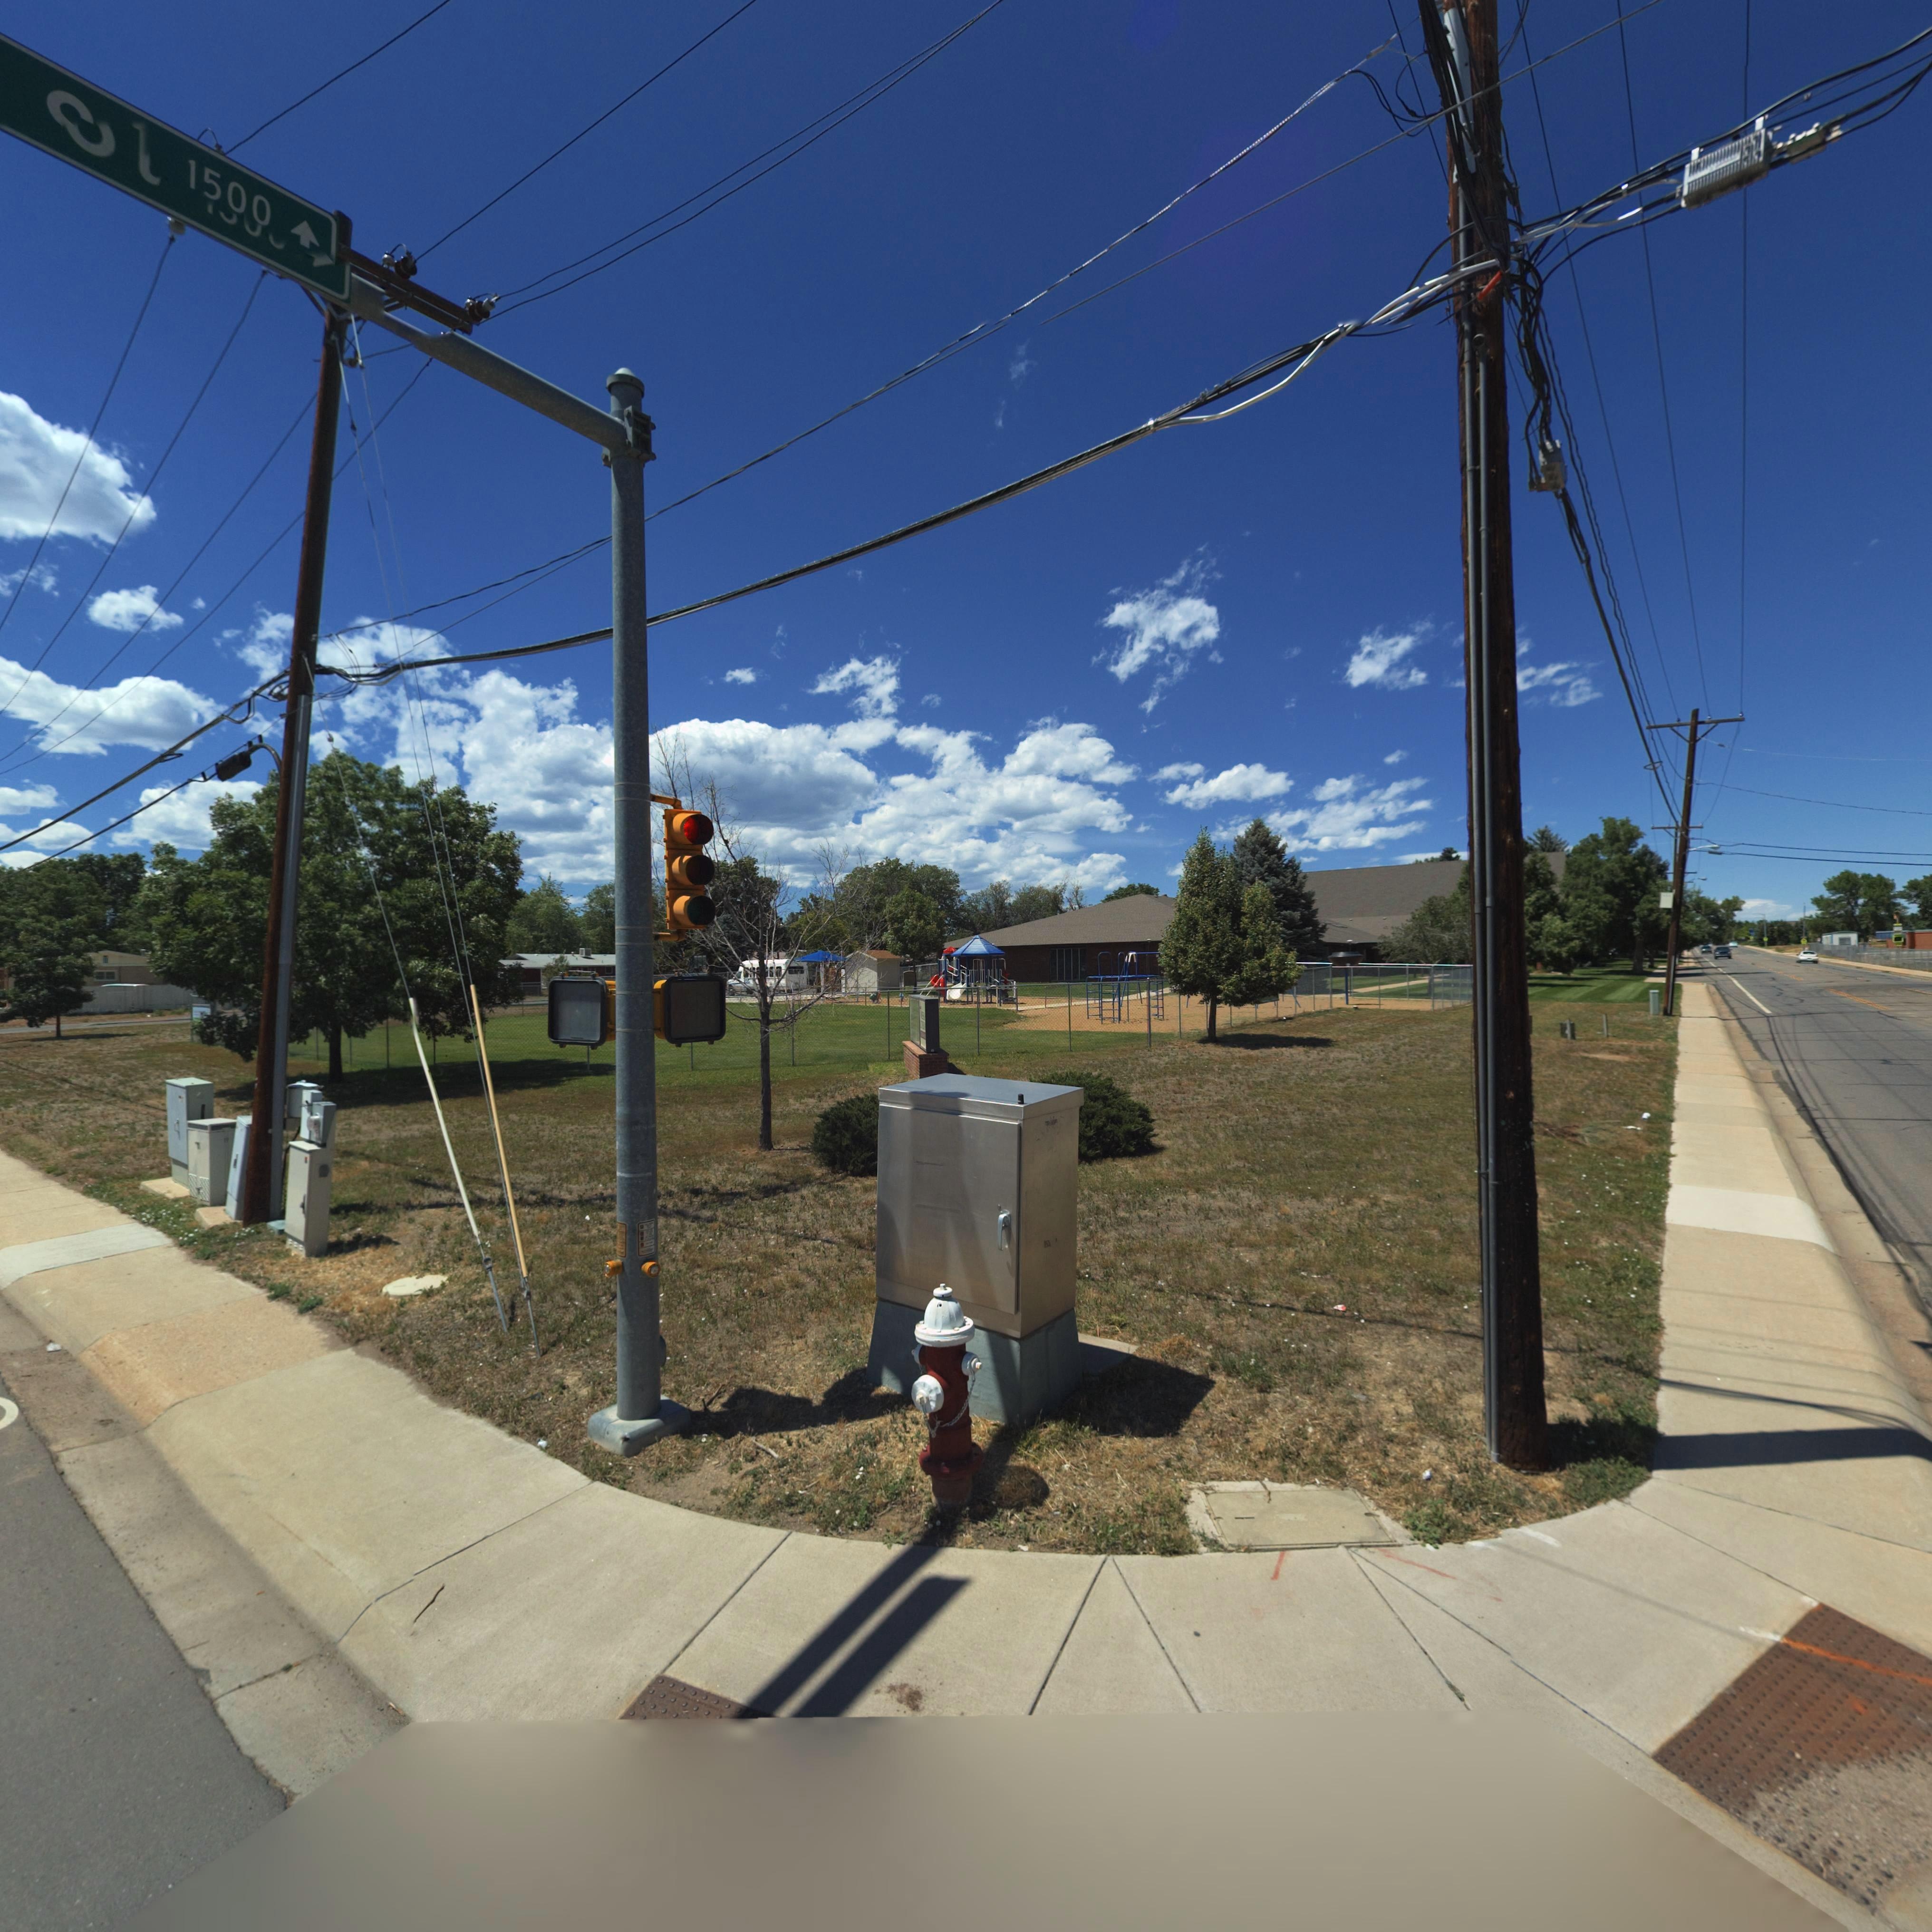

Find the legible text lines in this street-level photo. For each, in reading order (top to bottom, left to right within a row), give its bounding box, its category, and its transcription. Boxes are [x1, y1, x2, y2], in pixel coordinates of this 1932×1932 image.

[188, 156, 273, 230] StreetNumberRange: 1500